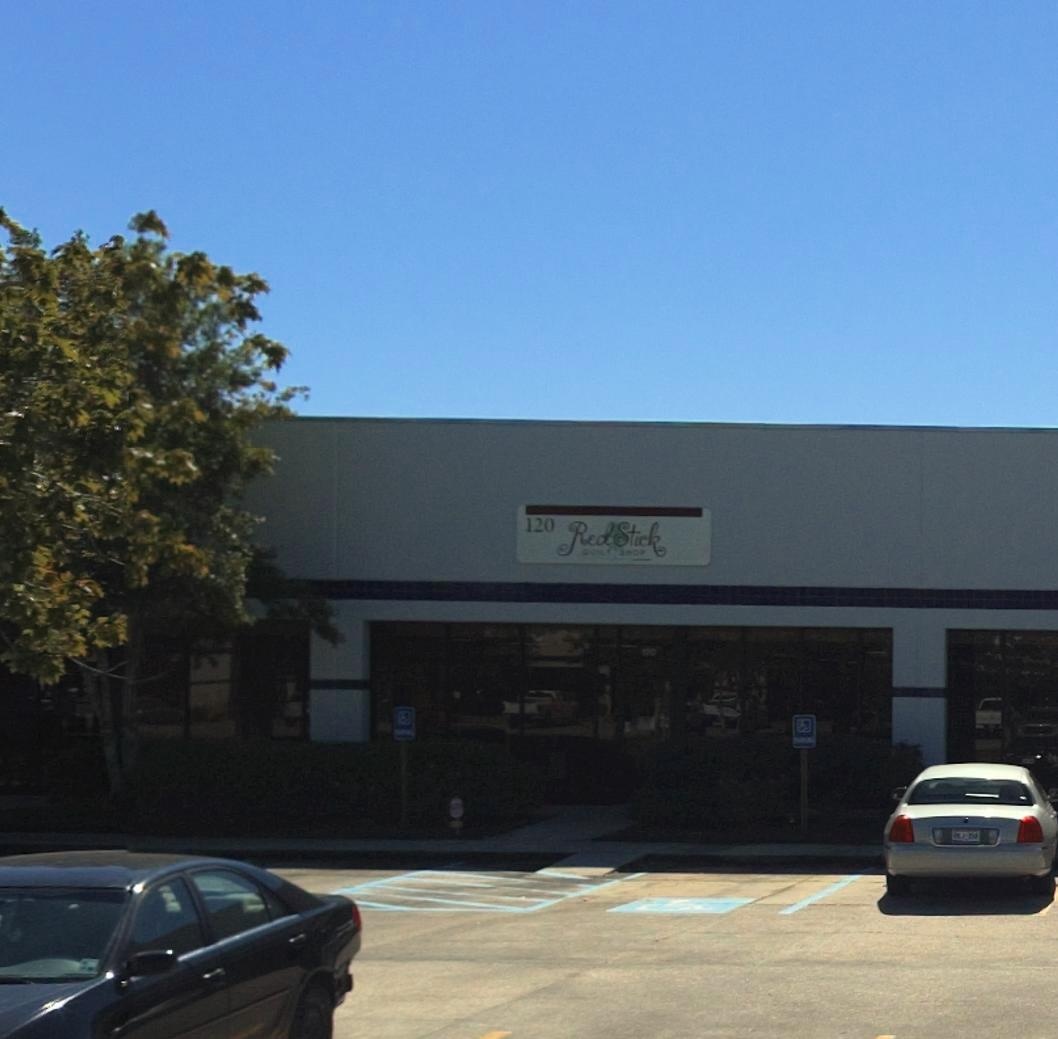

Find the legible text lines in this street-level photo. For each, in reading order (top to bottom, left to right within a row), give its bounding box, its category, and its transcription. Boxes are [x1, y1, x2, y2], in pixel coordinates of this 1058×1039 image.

[525, 516, 555, 533] StreetNumber: 120
[553, 520, 667, 558] BusinessName: RedStick
[619, 549, 646, 557] None: SHOP
[793, 736, 813, 743] None: PARKING